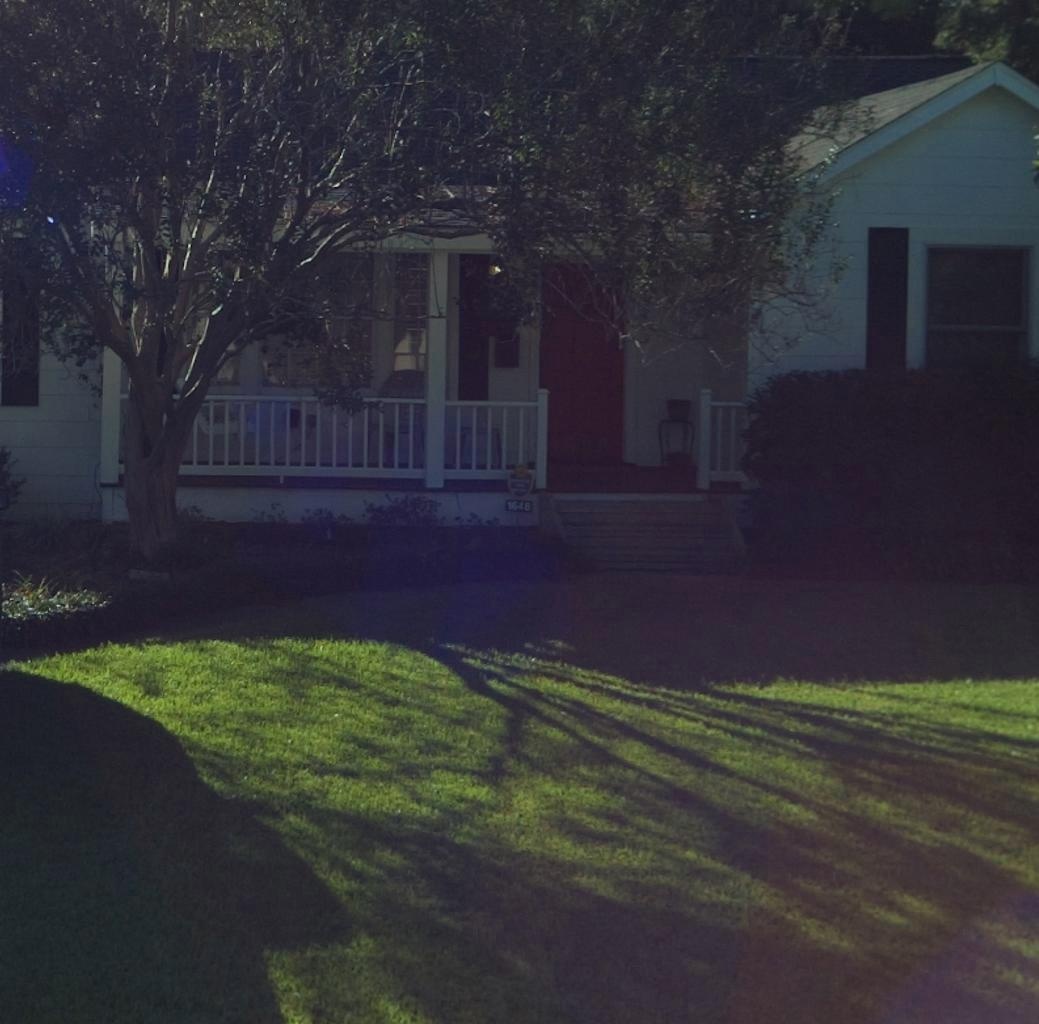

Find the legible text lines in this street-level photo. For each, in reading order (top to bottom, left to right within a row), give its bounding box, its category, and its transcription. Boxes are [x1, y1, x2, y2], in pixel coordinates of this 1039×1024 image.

[507, 500, 531, 512] StreetNumber: 1648